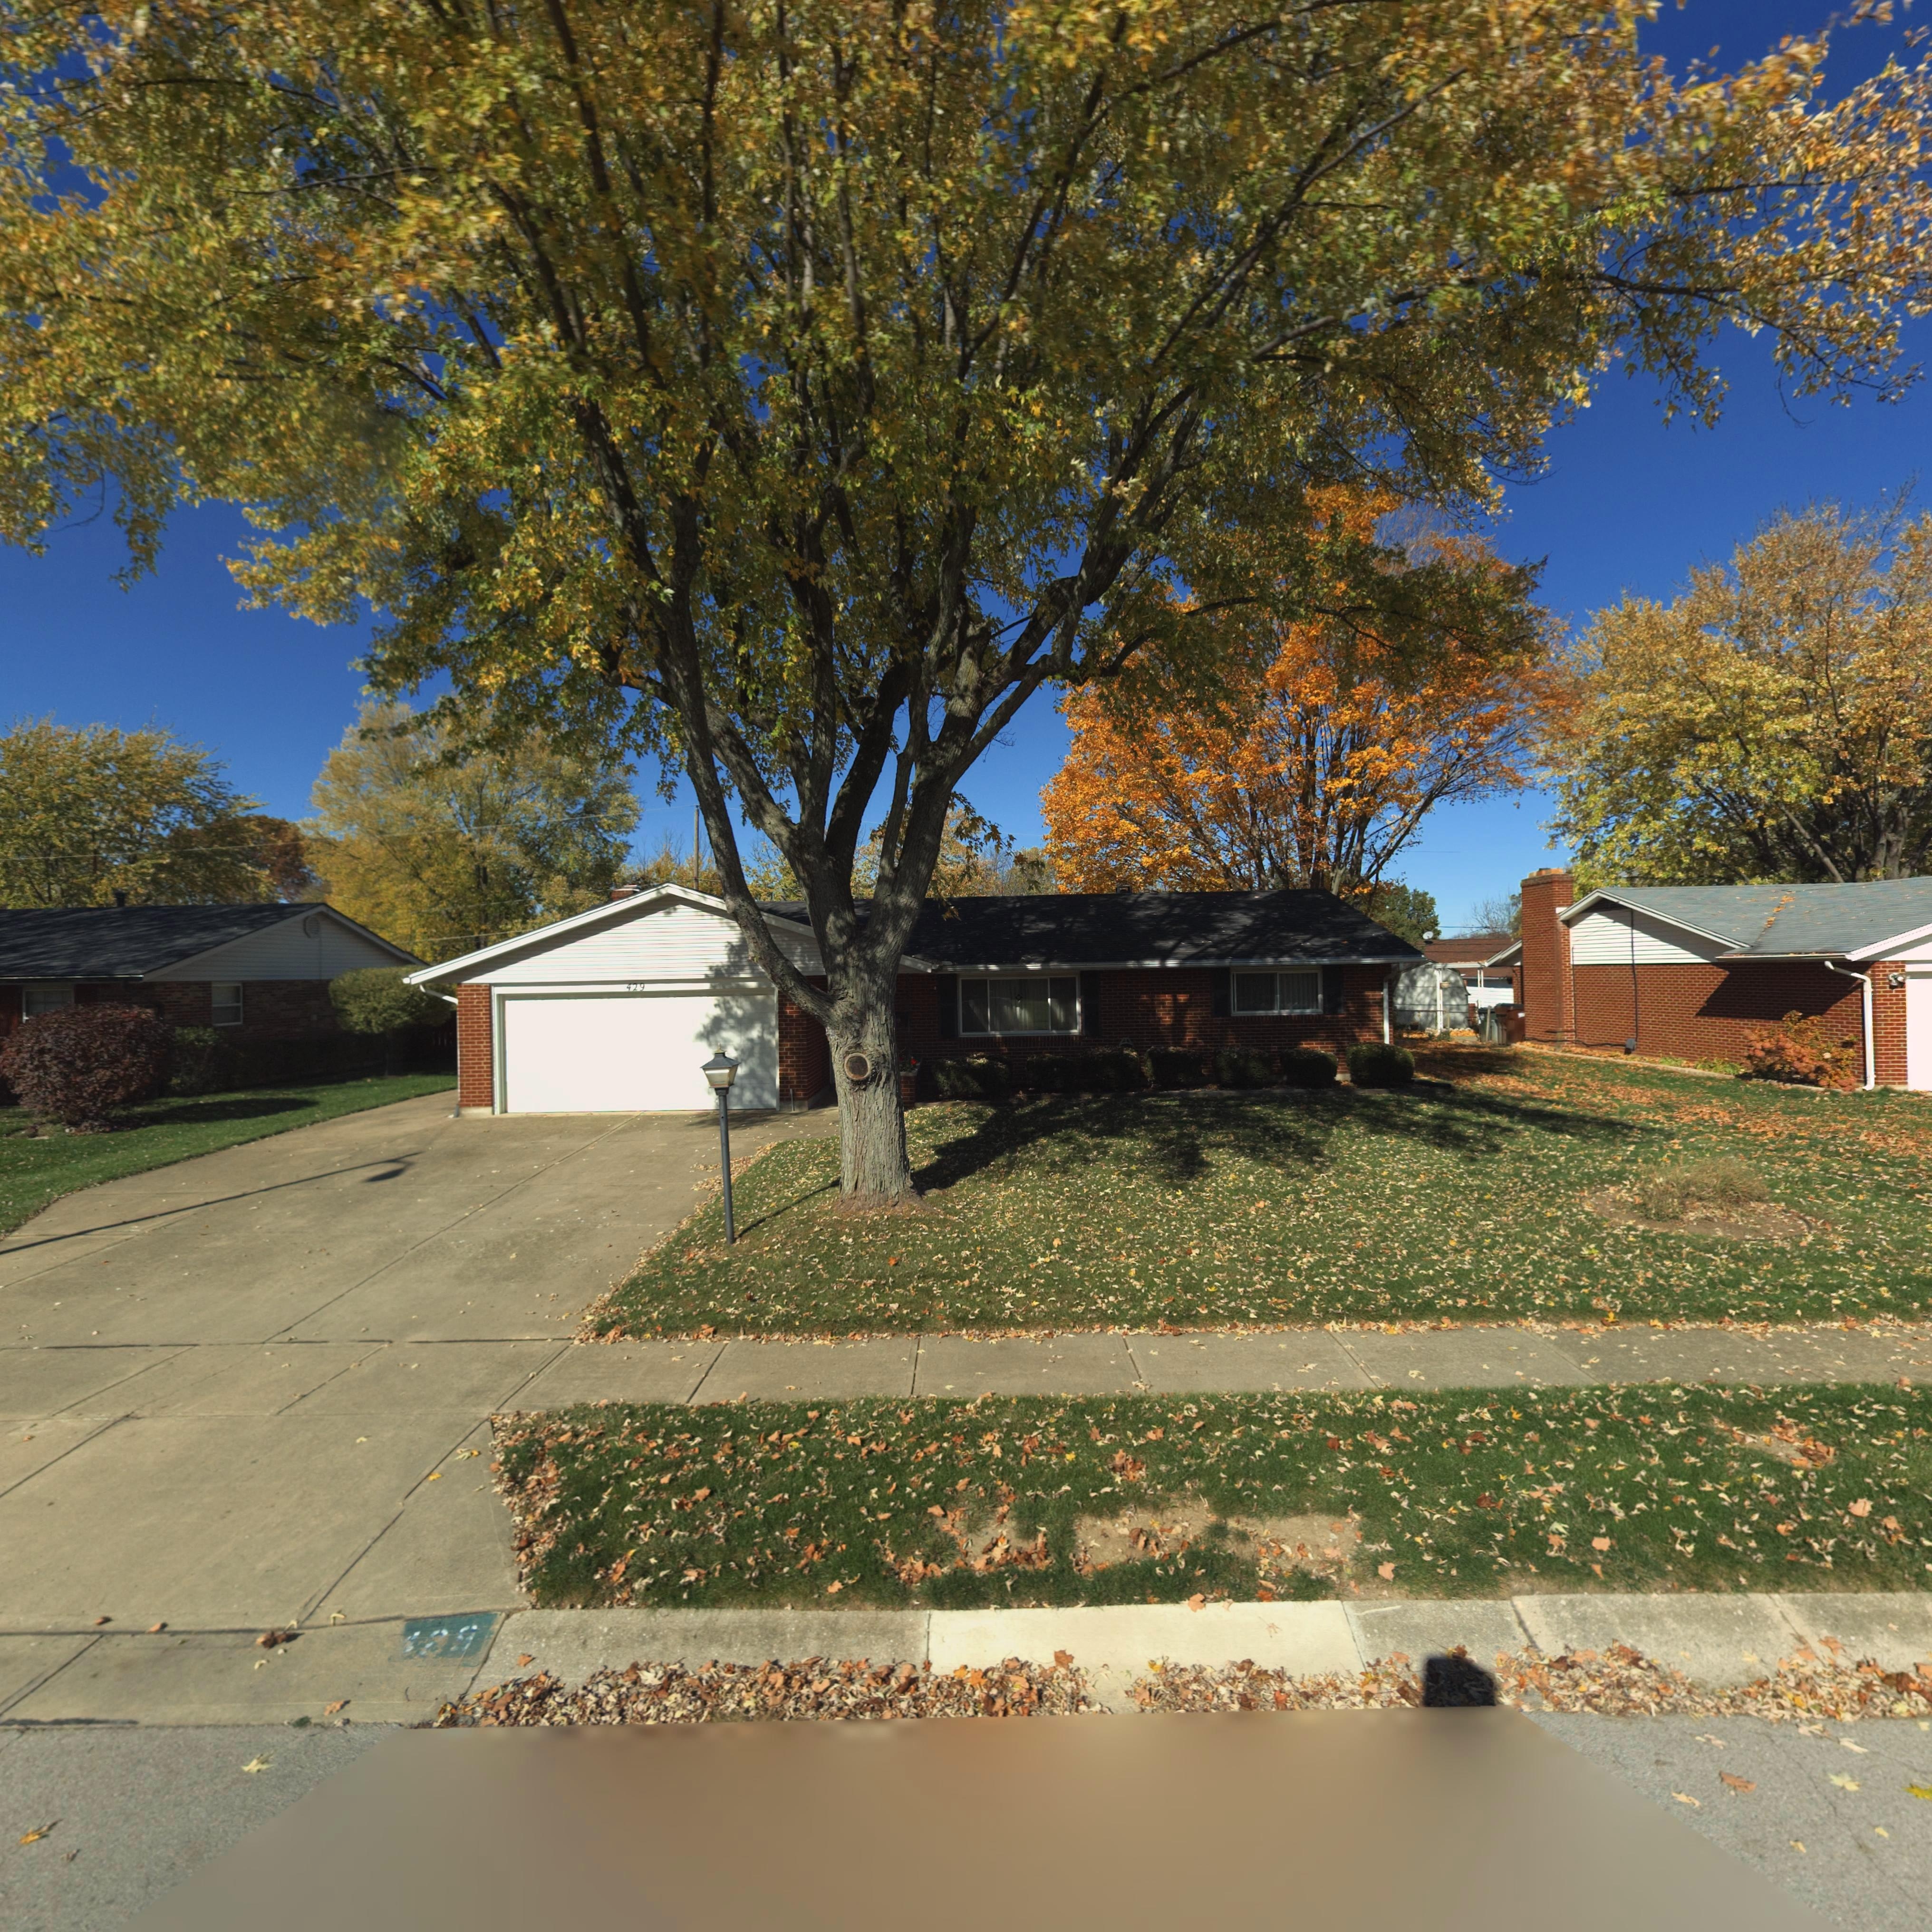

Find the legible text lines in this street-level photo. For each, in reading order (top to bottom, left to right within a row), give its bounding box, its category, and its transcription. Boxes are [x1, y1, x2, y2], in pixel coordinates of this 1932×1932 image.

[625, 982, 646, 992] StreetNumber: 429
[395, 1620, 482, 1659] StreetNumber: **9